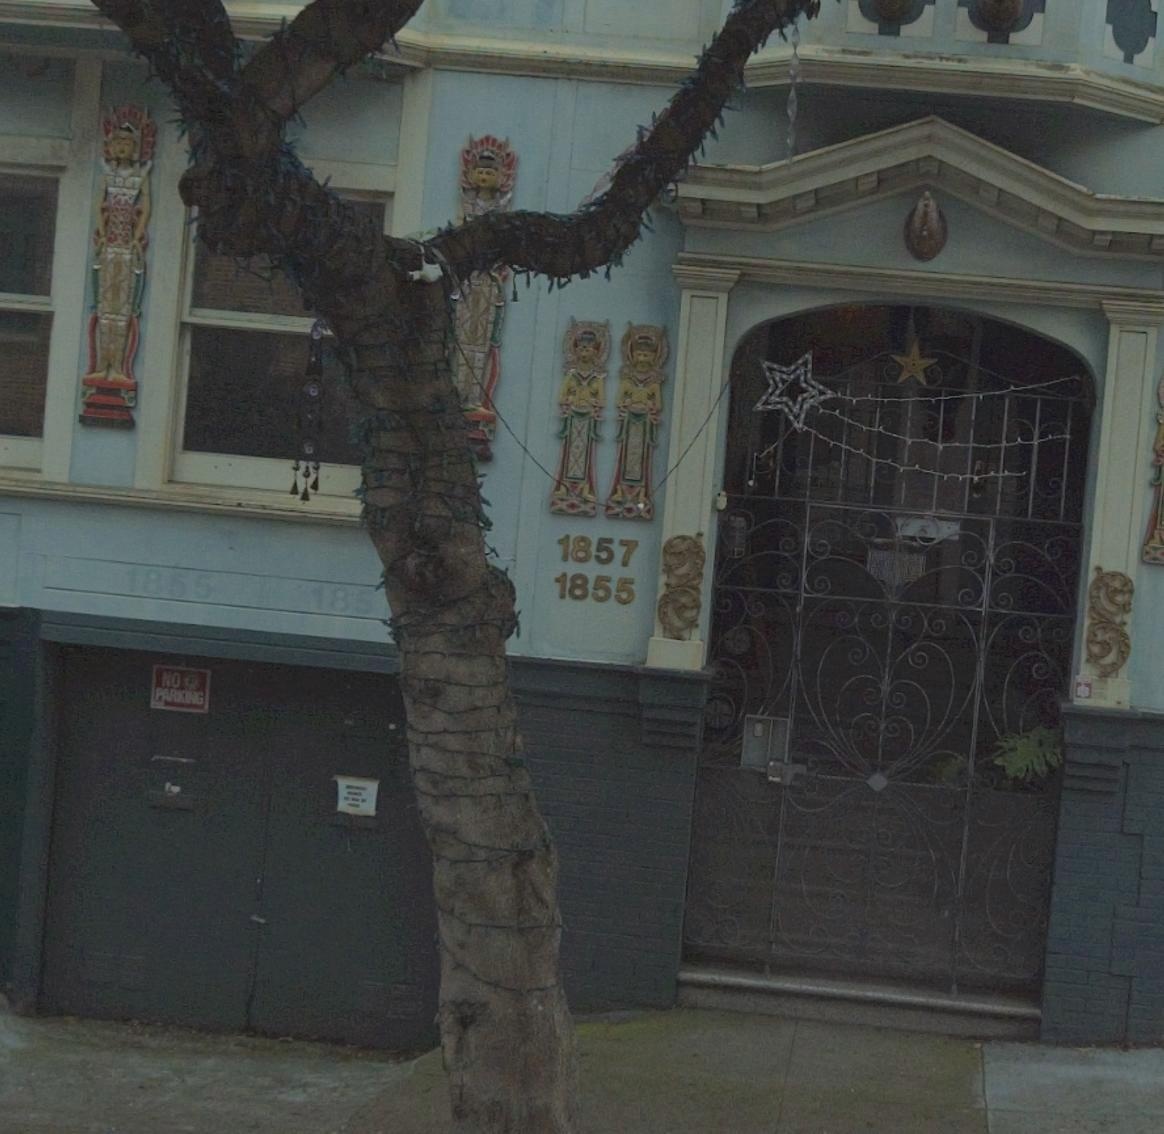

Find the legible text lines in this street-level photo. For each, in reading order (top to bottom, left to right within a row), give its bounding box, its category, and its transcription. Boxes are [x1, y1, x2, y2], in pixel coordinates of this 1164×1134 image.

[555, 532, 641, 570] StreetNumber: 1857
[126, 563, 218, 601] StreetNumber: 1855
[310, 582, 378, 618] StreetNumber: 185
[551, 569, 637, 606] StreetNumber: 1855
[160, 669, 182, 689] None: NO
[154, 685, 204, 707] None: PARKING